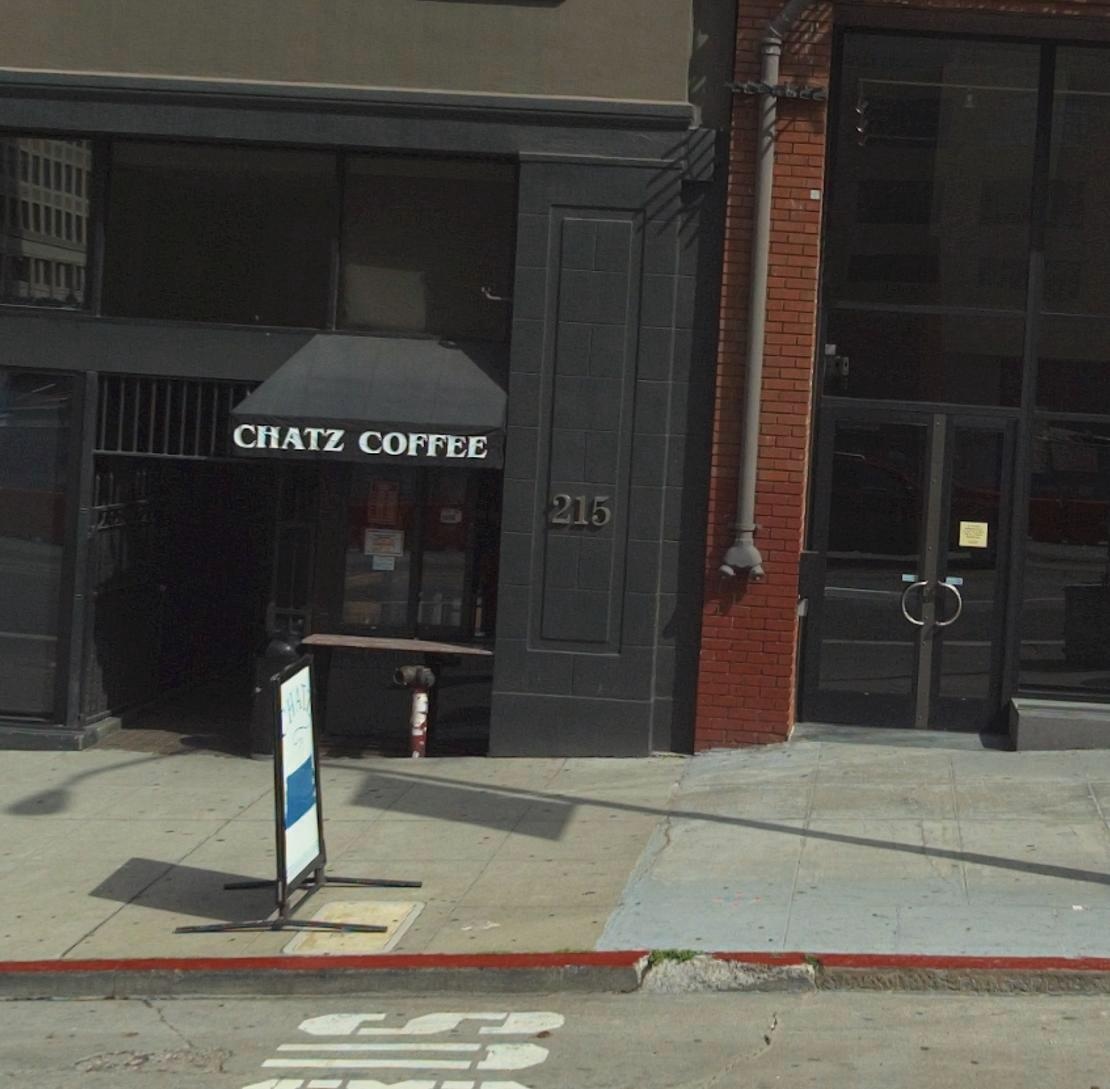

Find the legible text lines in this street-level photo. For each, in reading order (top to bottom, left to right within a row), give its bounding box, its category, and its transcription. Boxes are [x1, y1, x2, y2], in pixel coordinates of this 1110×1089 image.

[230, 422, 490, 461] BusinessName: CHATZ COFFEE
[550, 492, 611, 527] StreetNumber: 215
[285, 683, 307, 725] None: HAT